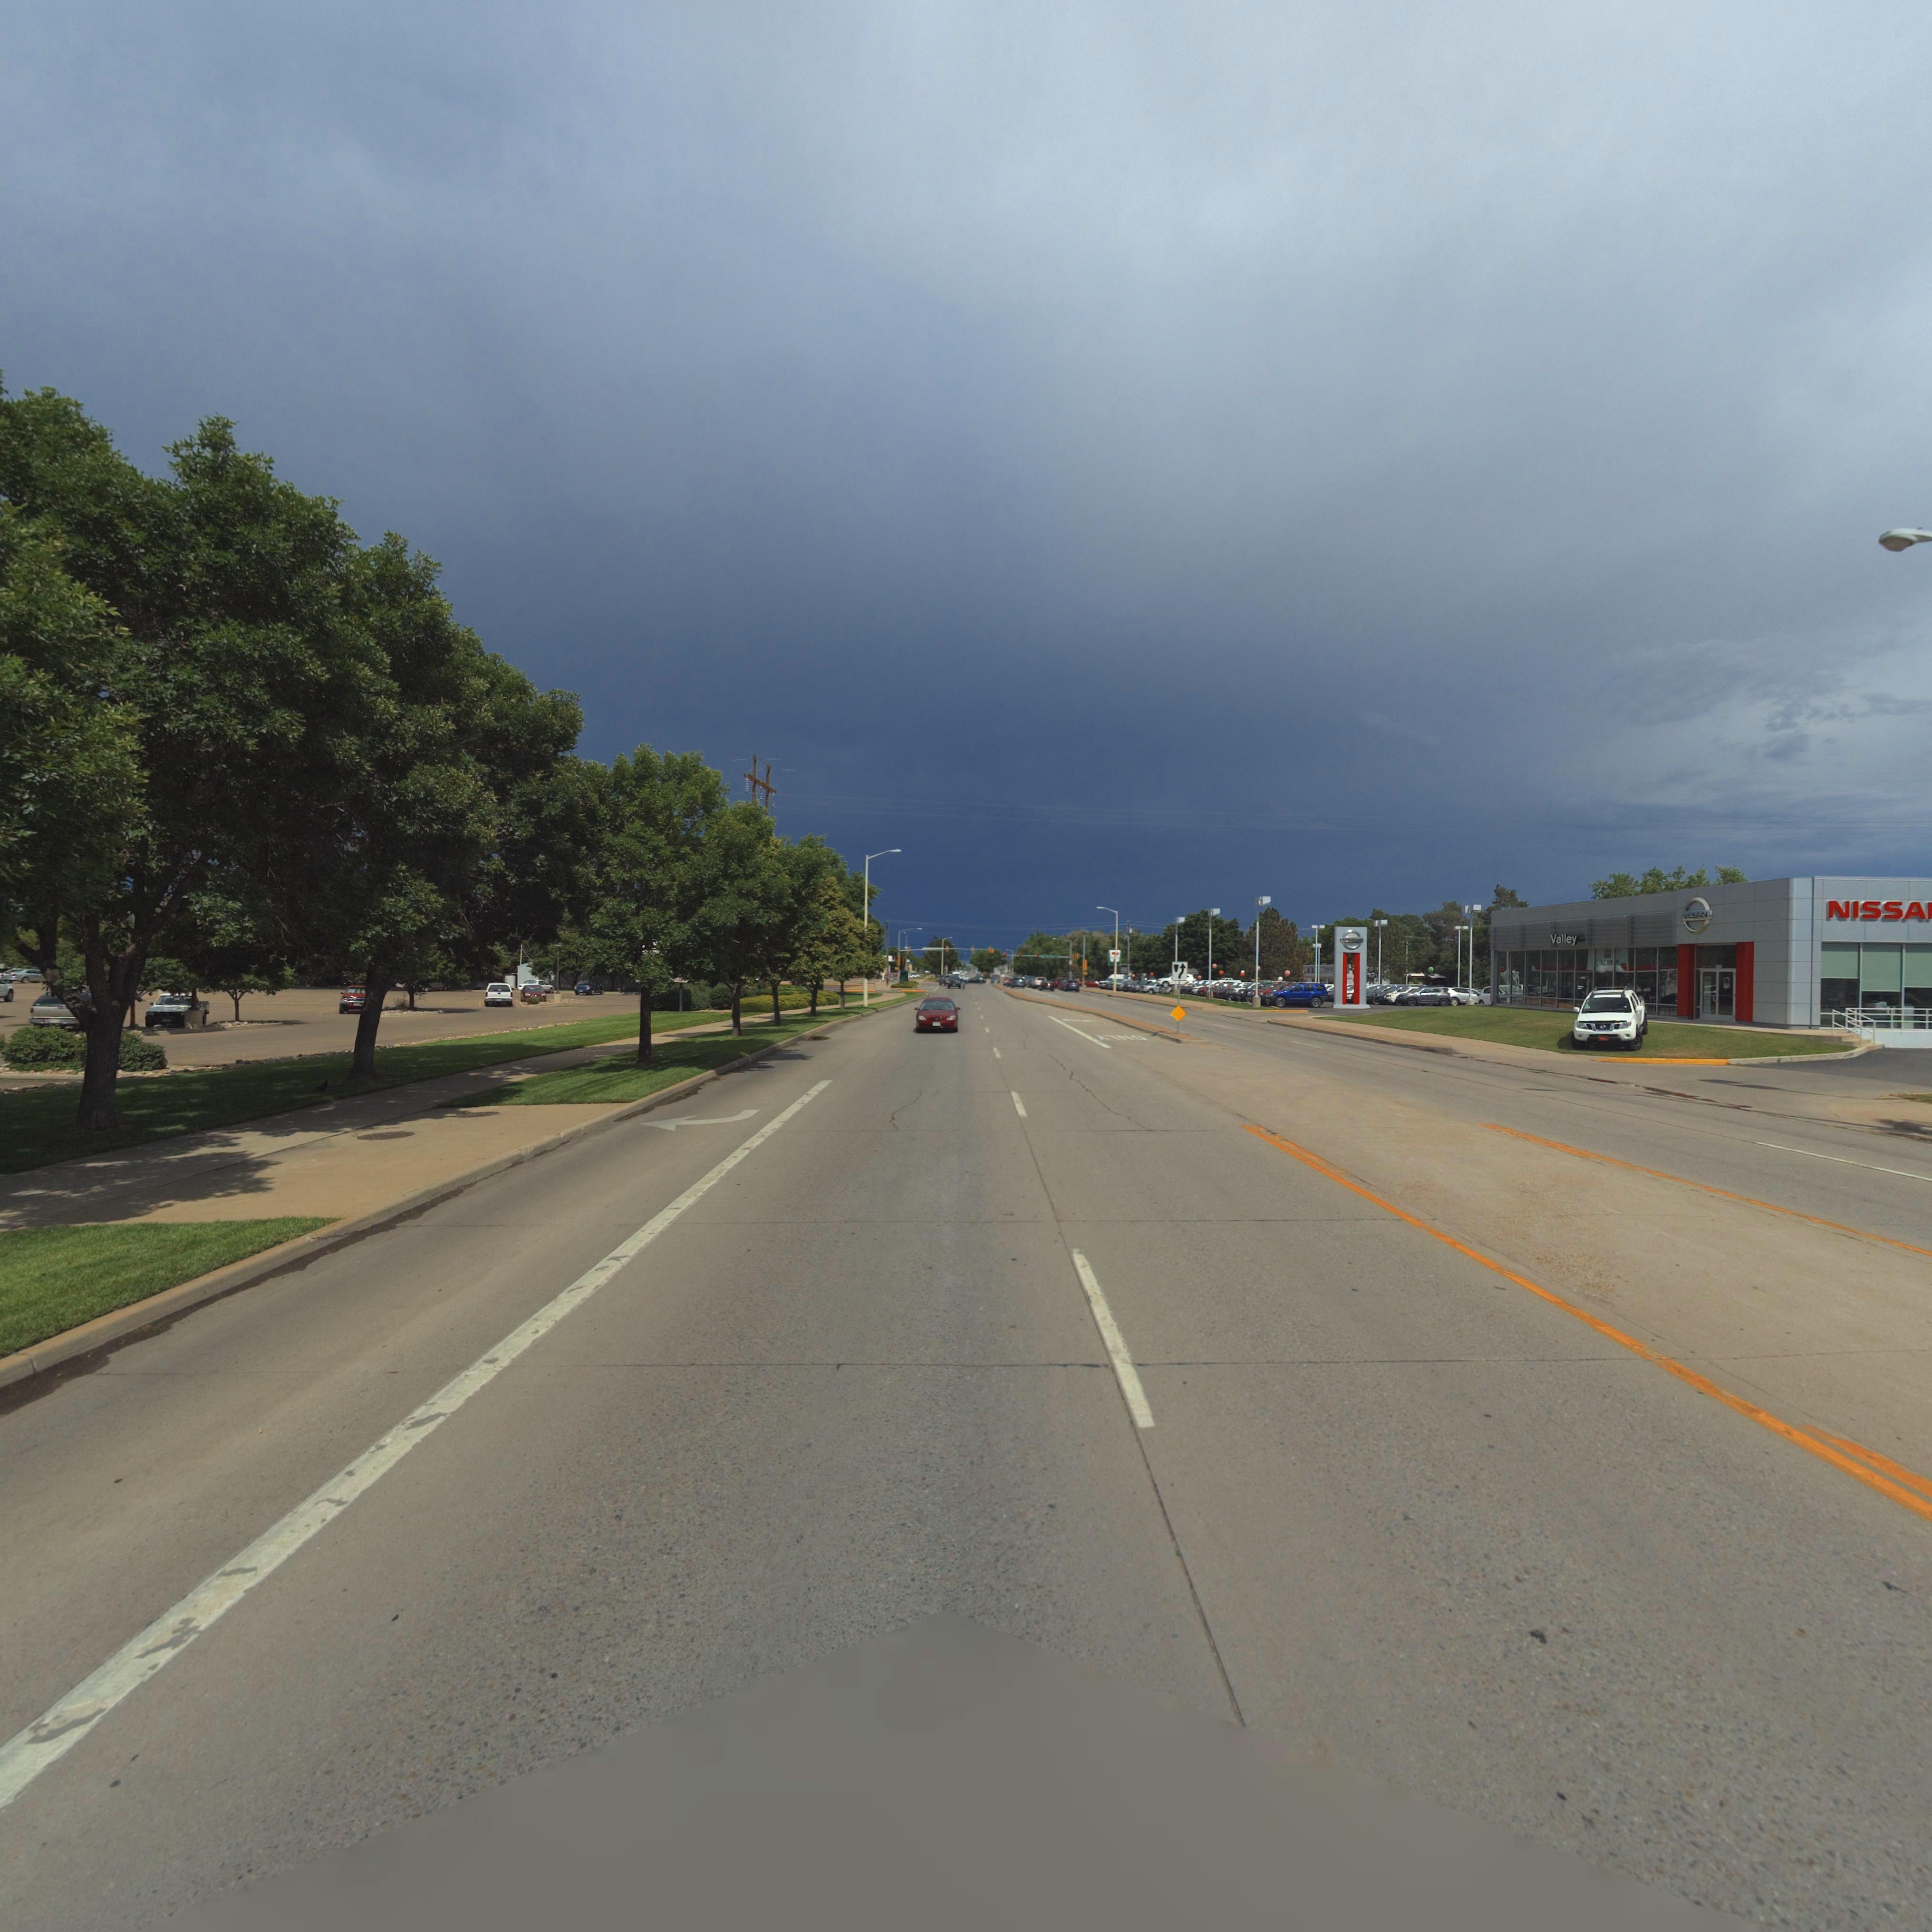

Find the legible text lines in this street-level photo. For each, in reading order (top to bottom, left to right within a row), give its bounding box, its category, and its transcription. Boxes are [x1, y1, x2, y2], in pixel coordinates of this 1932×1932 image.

[1682, 911, 1707, 918] BusinessName: *ISSAN
[1827, 900, 1926, 919] BusinessName: NISSA
[1550, 933, 1577, 946] BusinessName: Valley